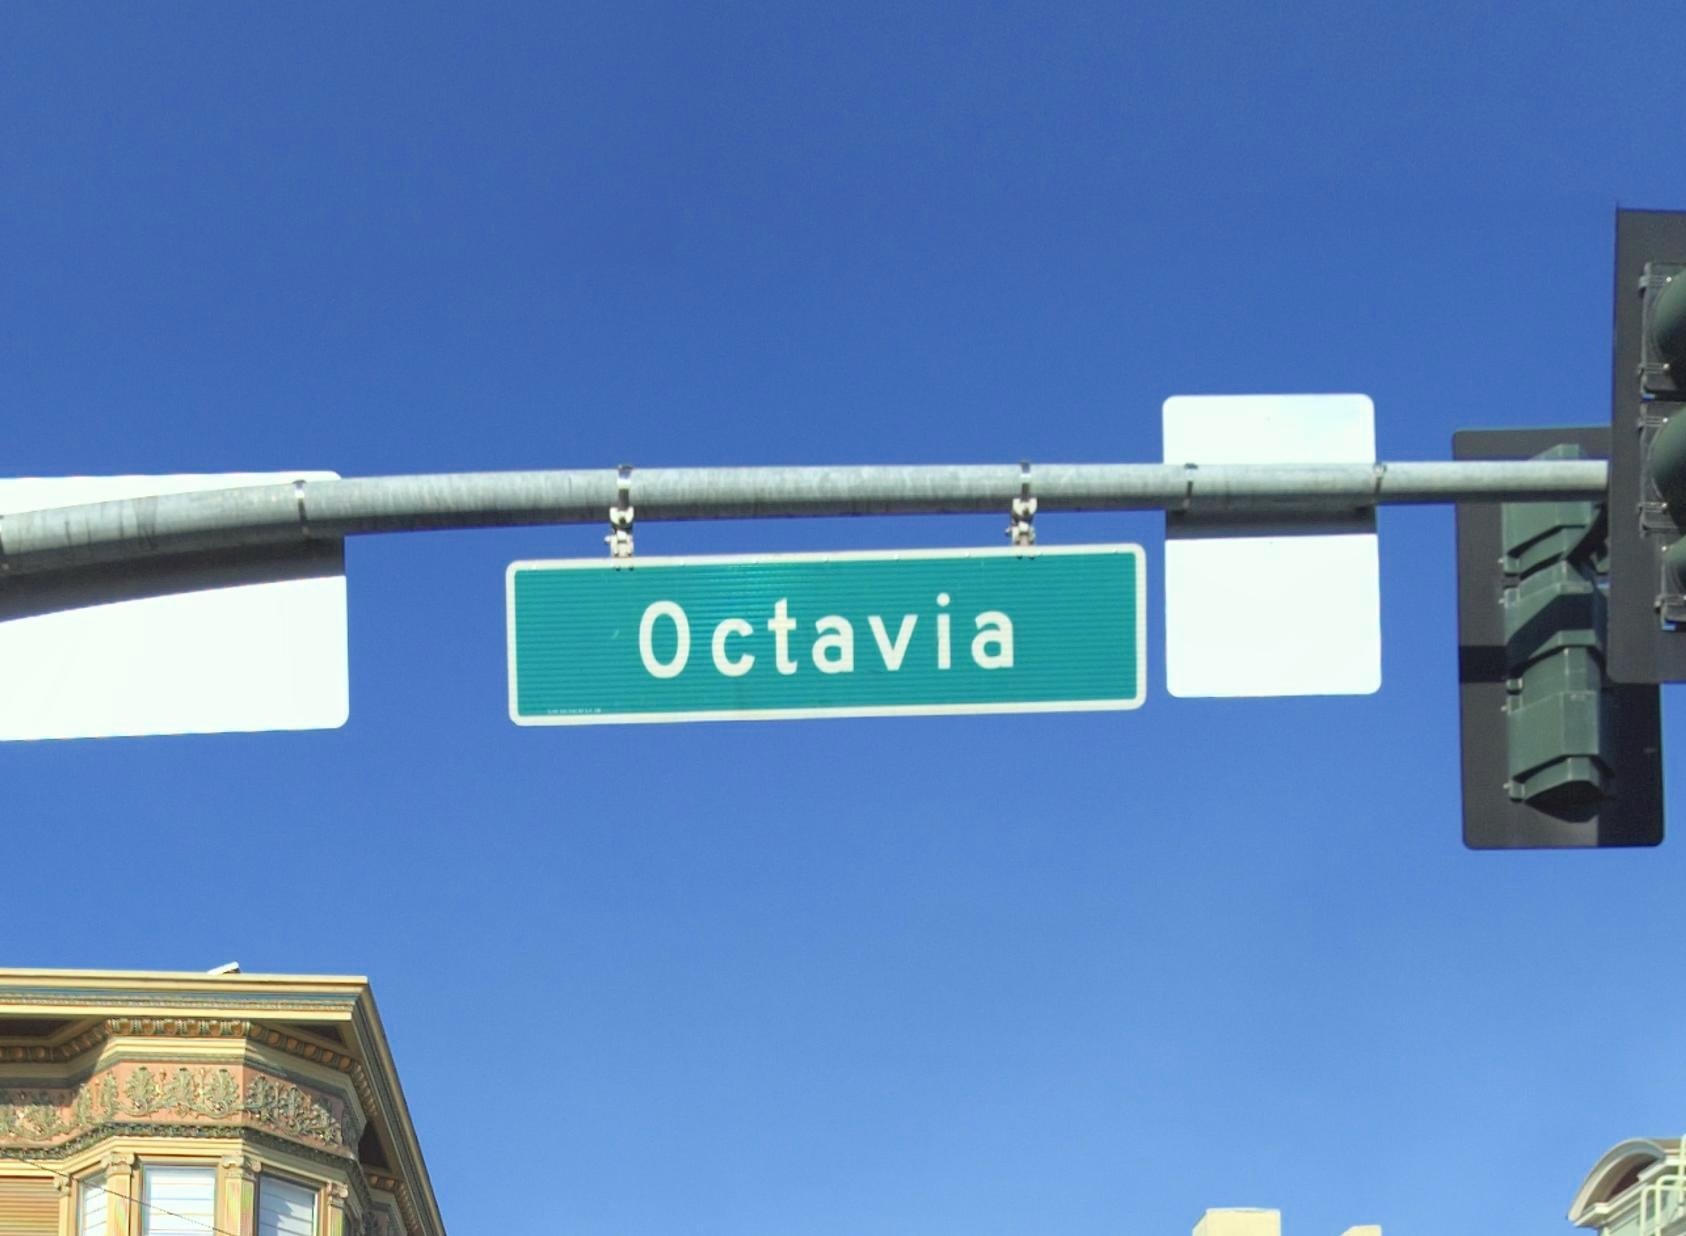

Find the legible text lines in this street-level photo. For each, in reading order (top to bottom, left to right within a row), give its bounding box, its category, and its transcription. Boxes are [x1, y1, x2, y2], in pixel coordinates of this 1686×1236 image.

[635, 589, 1021, 683] StreetName: Octavia